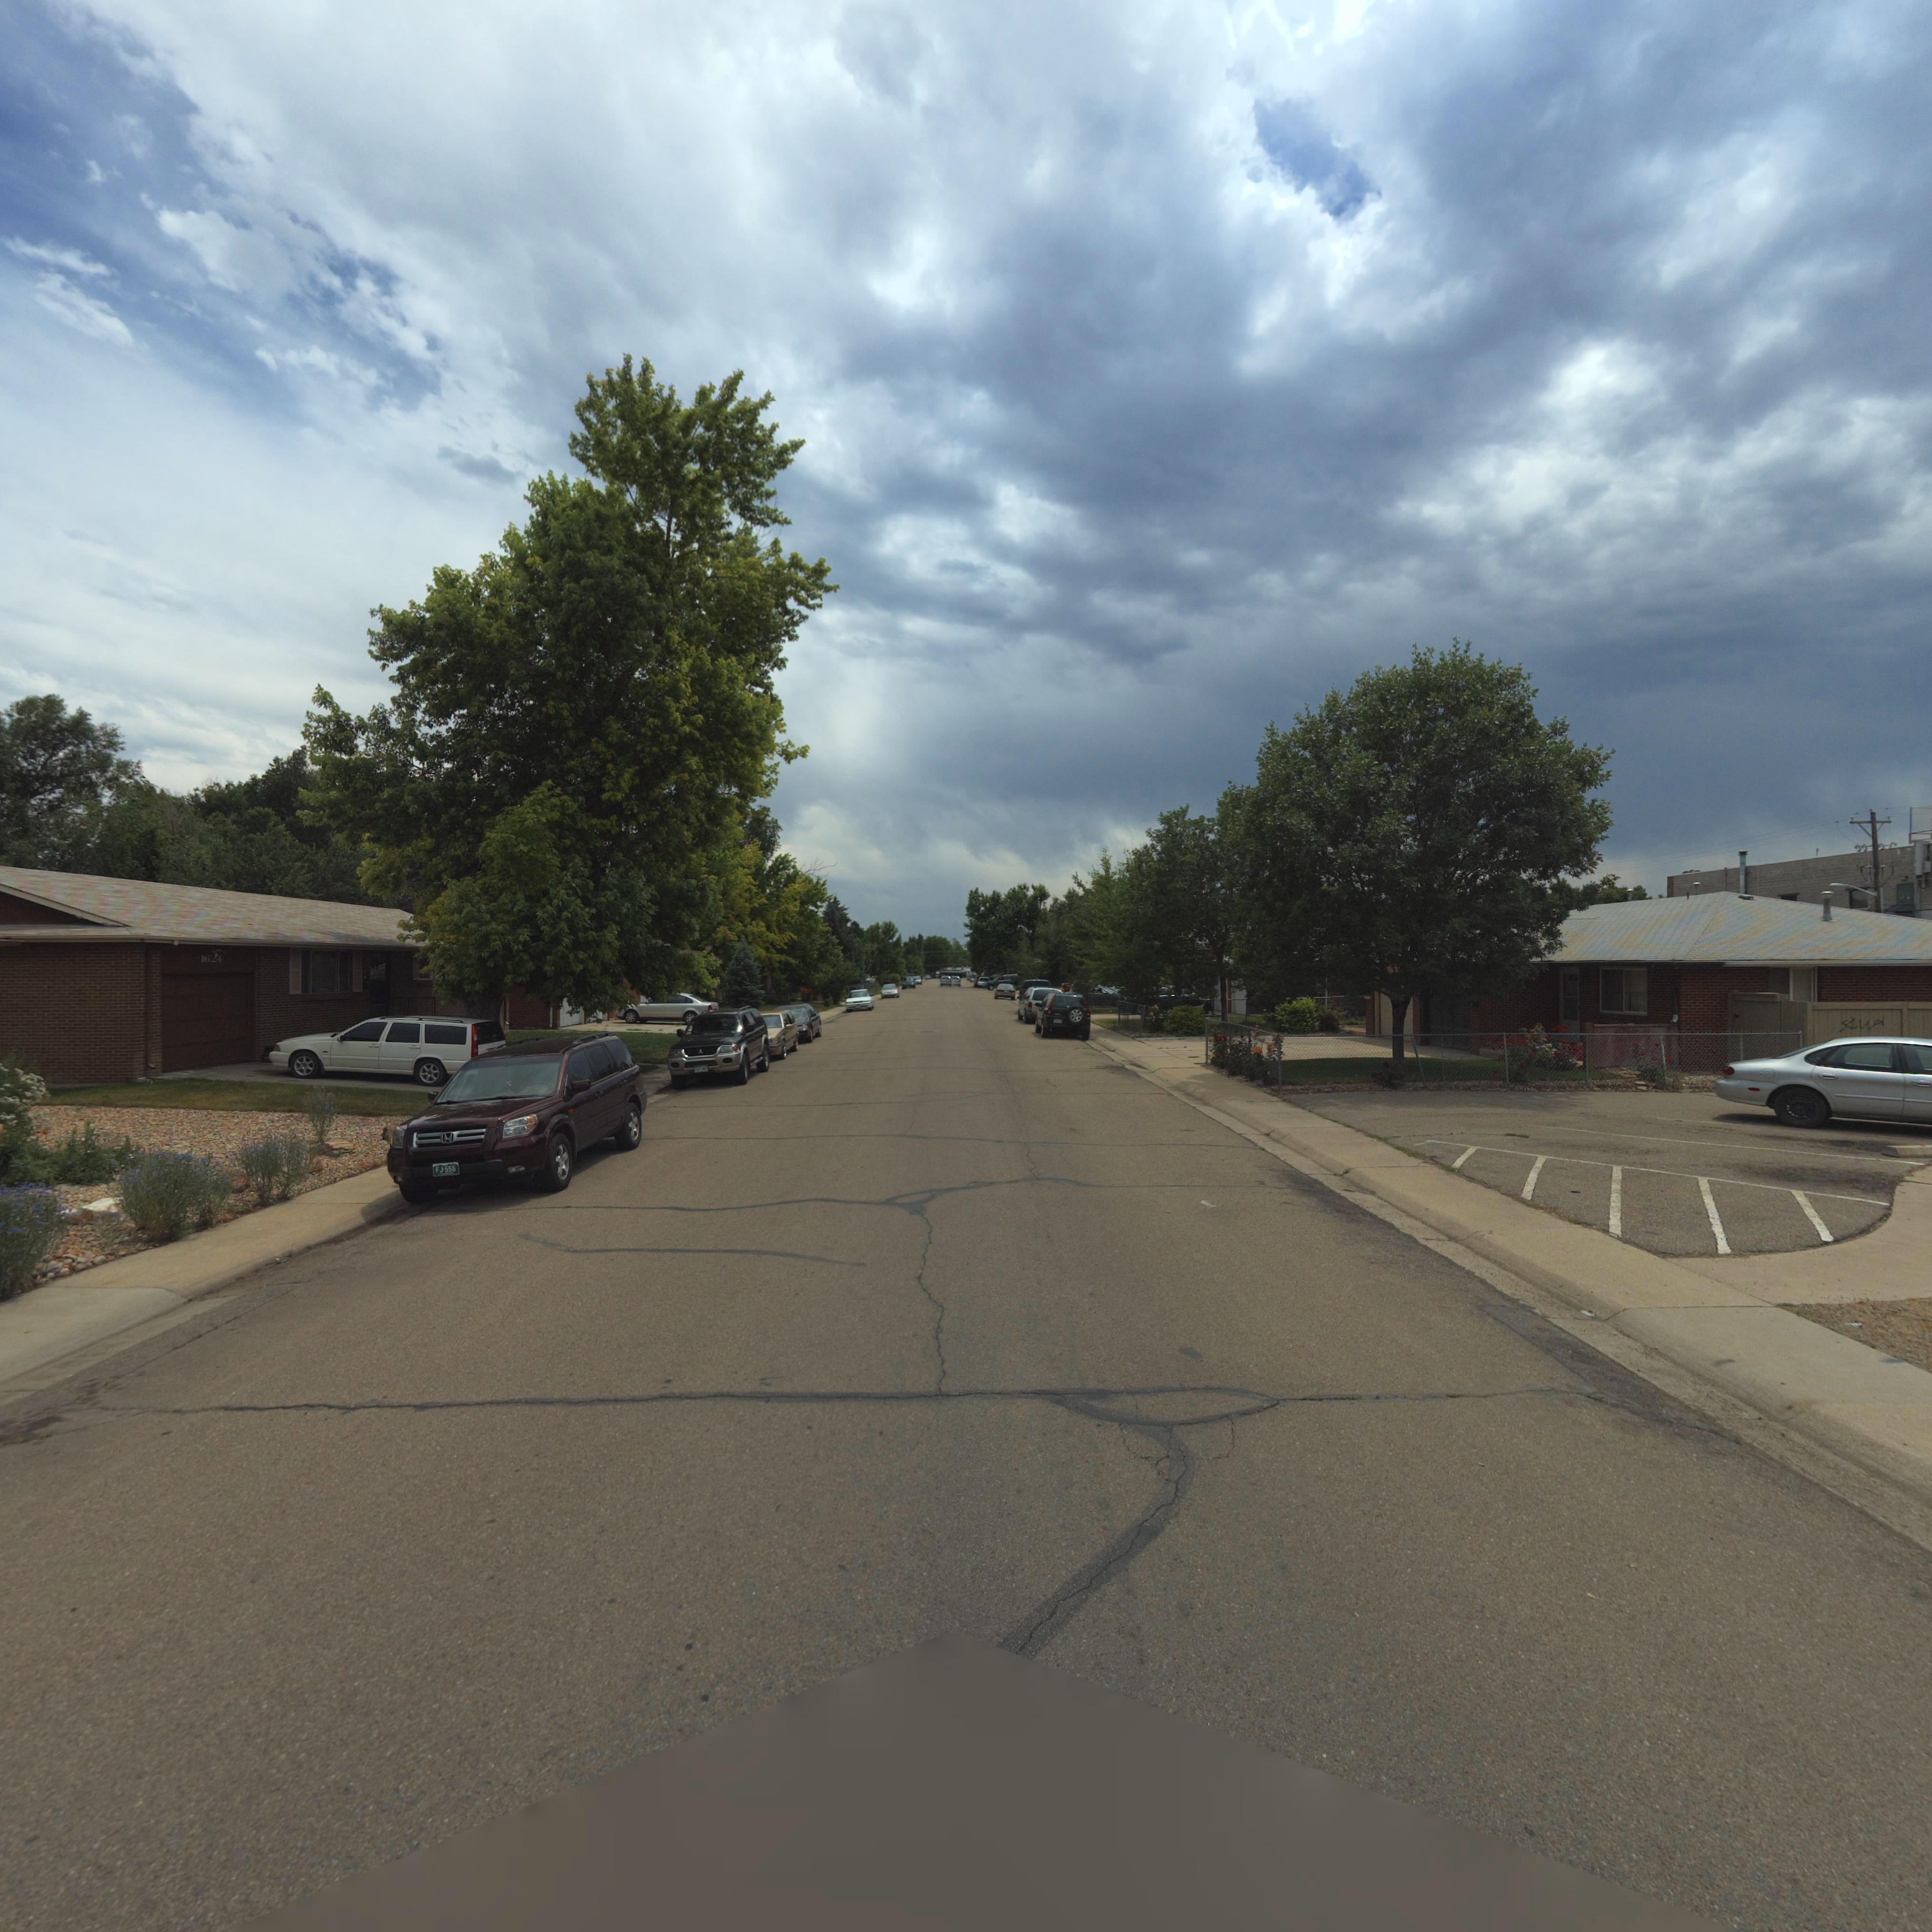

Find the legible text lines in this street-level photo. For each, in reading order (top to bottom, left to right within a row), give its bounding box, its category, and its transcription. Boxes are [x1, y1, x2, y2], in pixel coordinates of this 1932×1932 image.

[201, 954, 222, 963] StreetNumber: 16**